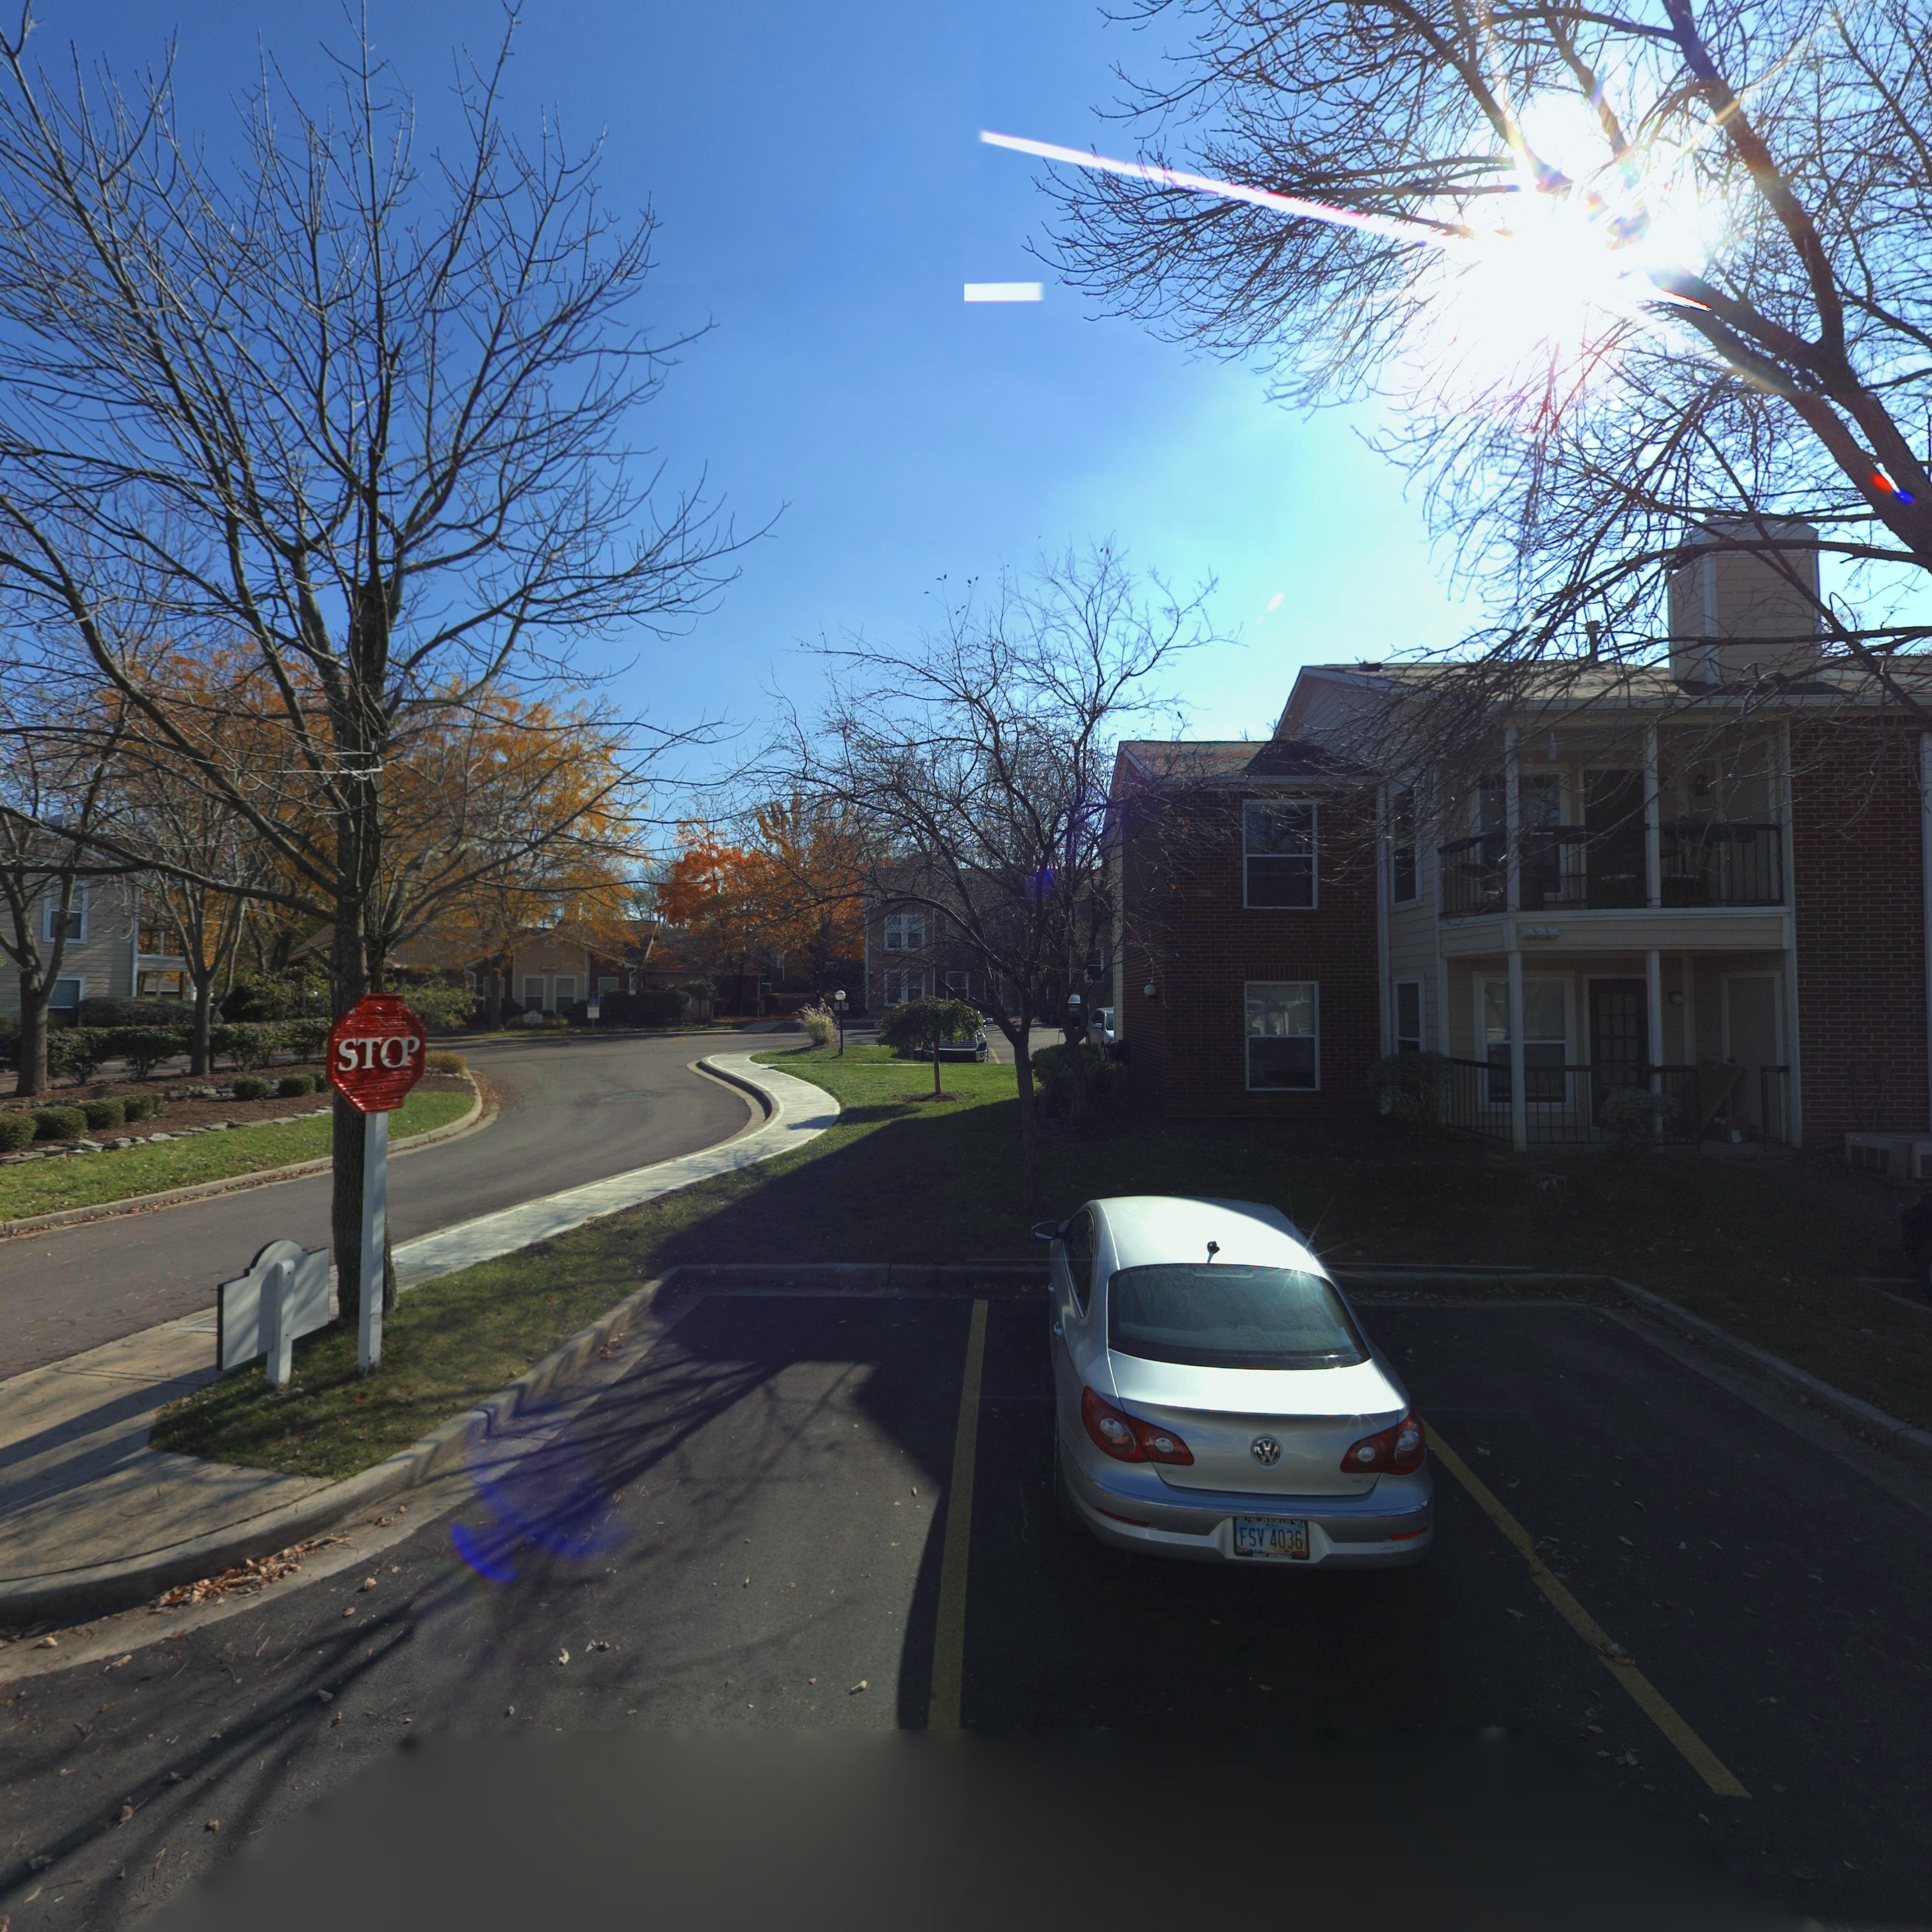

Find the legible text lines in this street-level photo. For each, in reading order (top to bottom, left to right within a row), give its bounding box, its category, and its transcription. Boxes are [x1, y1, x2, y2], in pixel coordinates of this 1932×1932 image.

[334, 1034, 422, 1074] None: STOP
[1238, 1525, 1304, 1552] None: FSV 4036